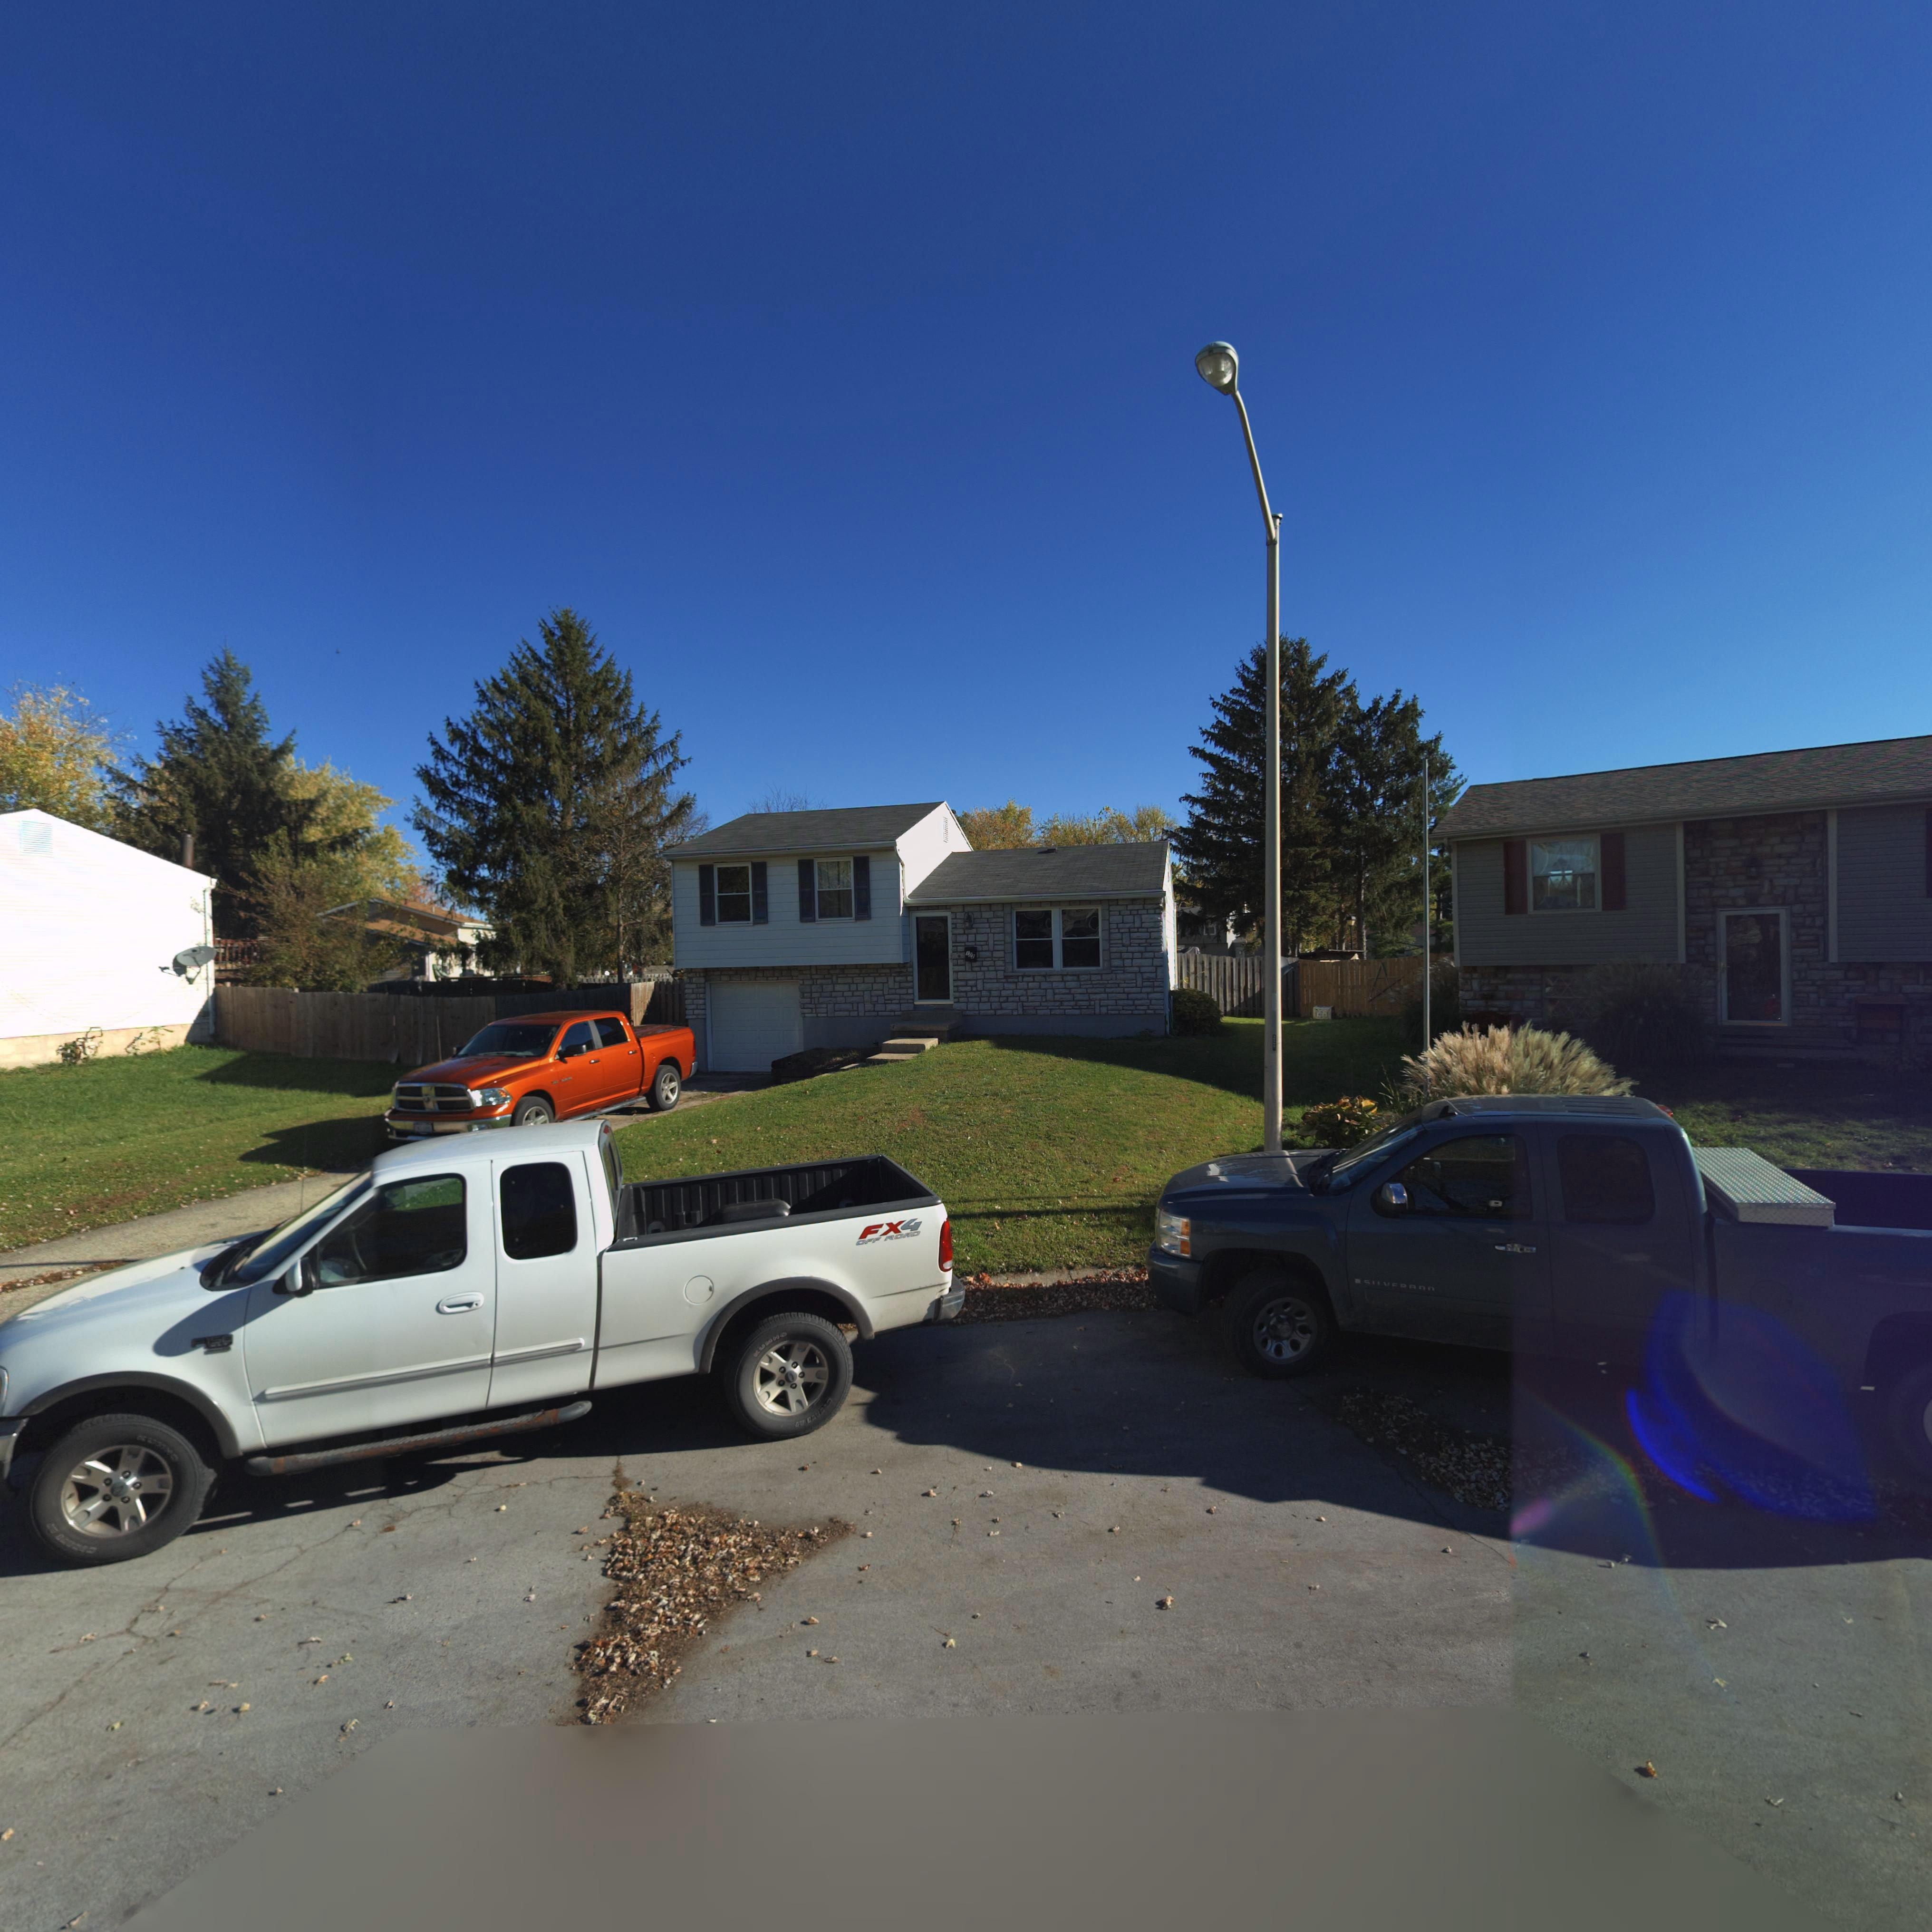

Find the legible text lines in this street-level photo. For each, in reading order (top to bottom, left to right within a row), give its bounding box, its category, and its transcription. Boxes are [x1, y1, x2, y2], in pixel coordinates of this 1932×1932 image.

[965, 951, 975, 959] StreetNumber: 102